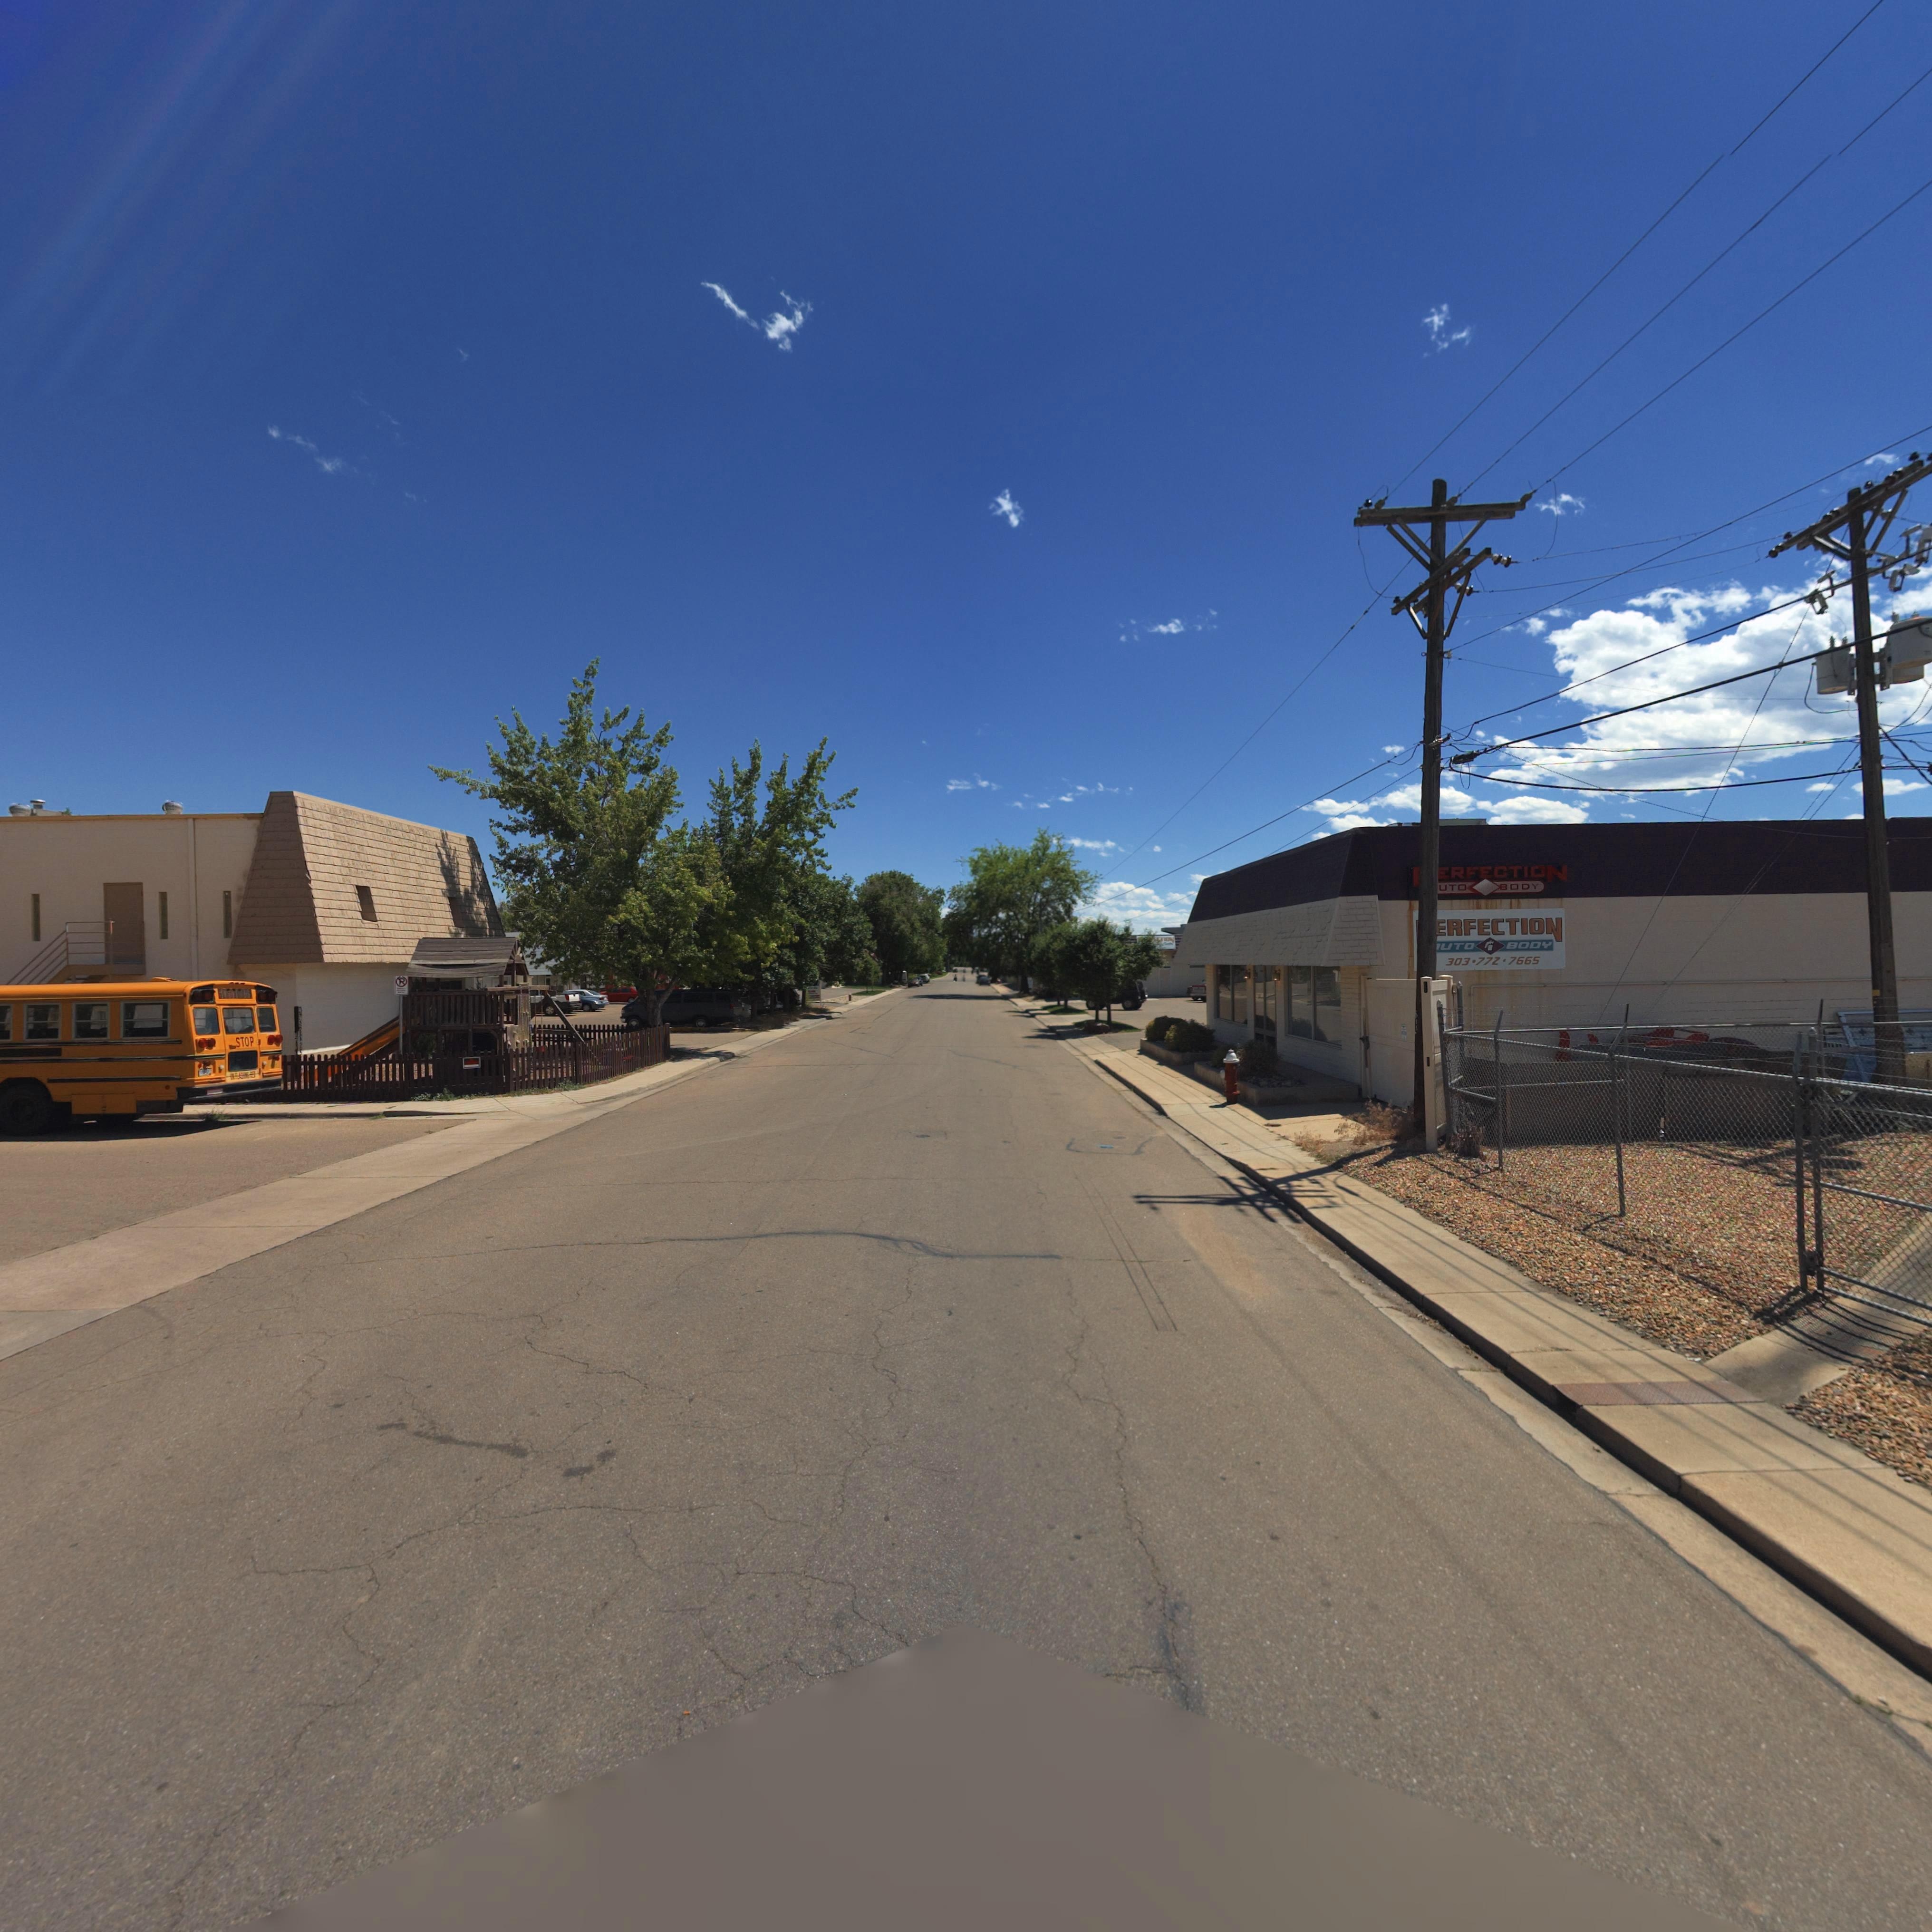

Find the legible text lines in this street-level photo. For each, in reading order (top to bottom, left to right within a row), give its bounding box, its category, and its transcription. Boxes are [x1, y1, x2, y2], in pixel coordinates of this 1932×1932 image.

[1438, 882, 1540, 891] BusinessName: UTO BODY
[1412, 863, 1568, 887] BusinessName: *ERFECTION
[1435, 917, 1562, 942] BusinessName: ERFECTION 
[1435, 941, 1552, 950] BusinessName: *UTO BODY